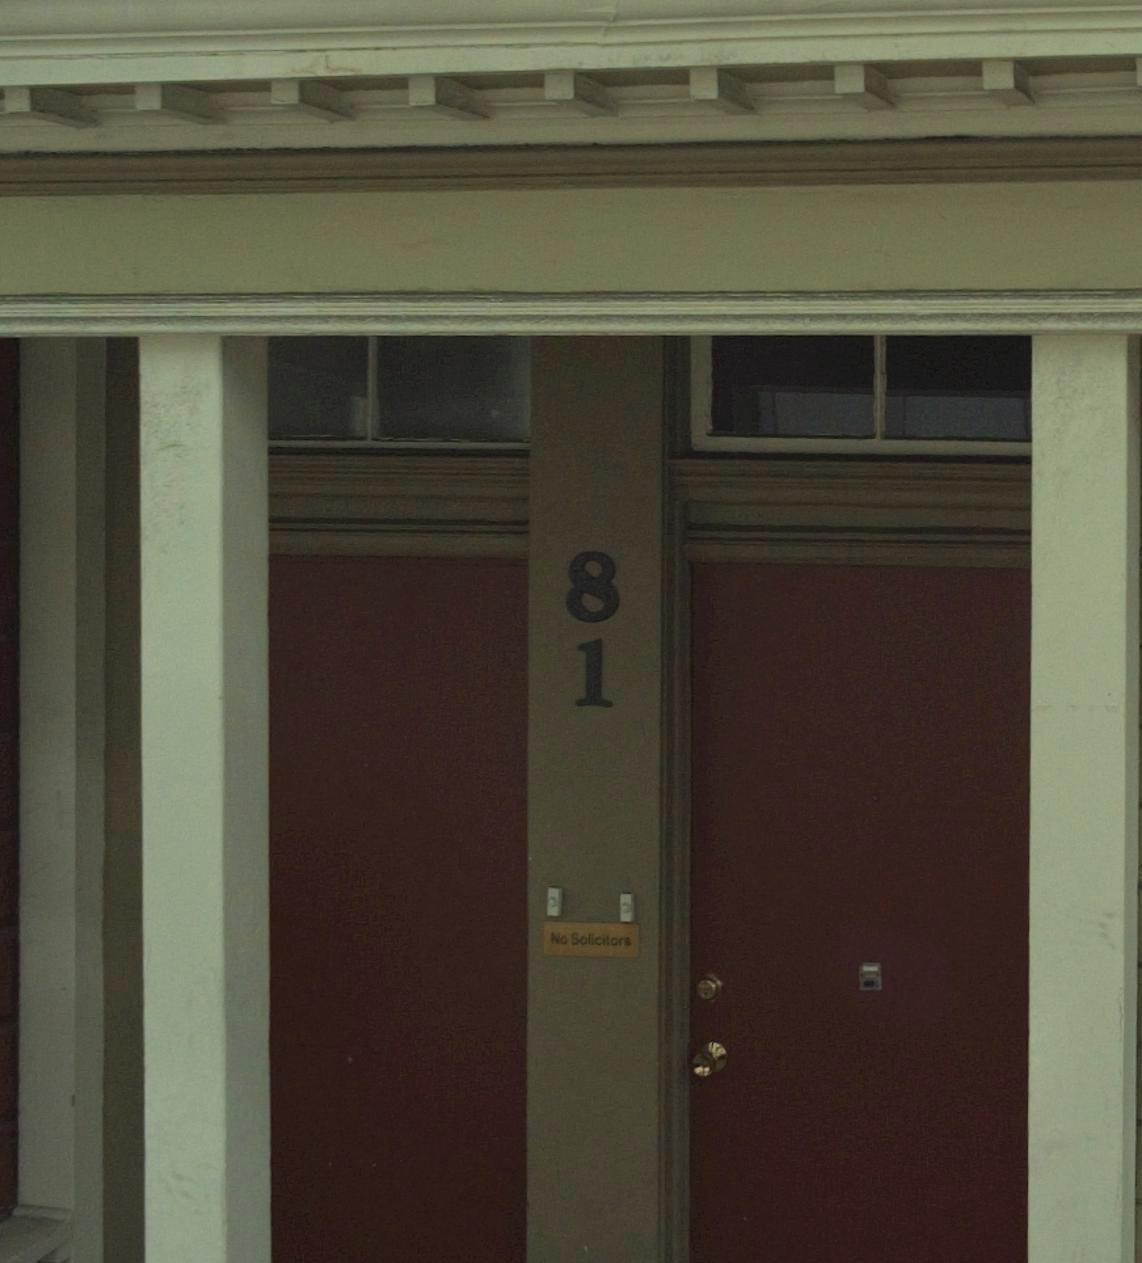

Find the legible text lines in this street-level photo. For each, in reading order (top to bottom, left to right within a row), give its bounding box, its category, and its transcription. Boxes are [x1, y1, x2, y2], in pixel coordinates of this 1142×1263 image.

[563, 550, 622, 708] StreetNumber: 81
[548, 929, 633, 948] None: No Solicitors